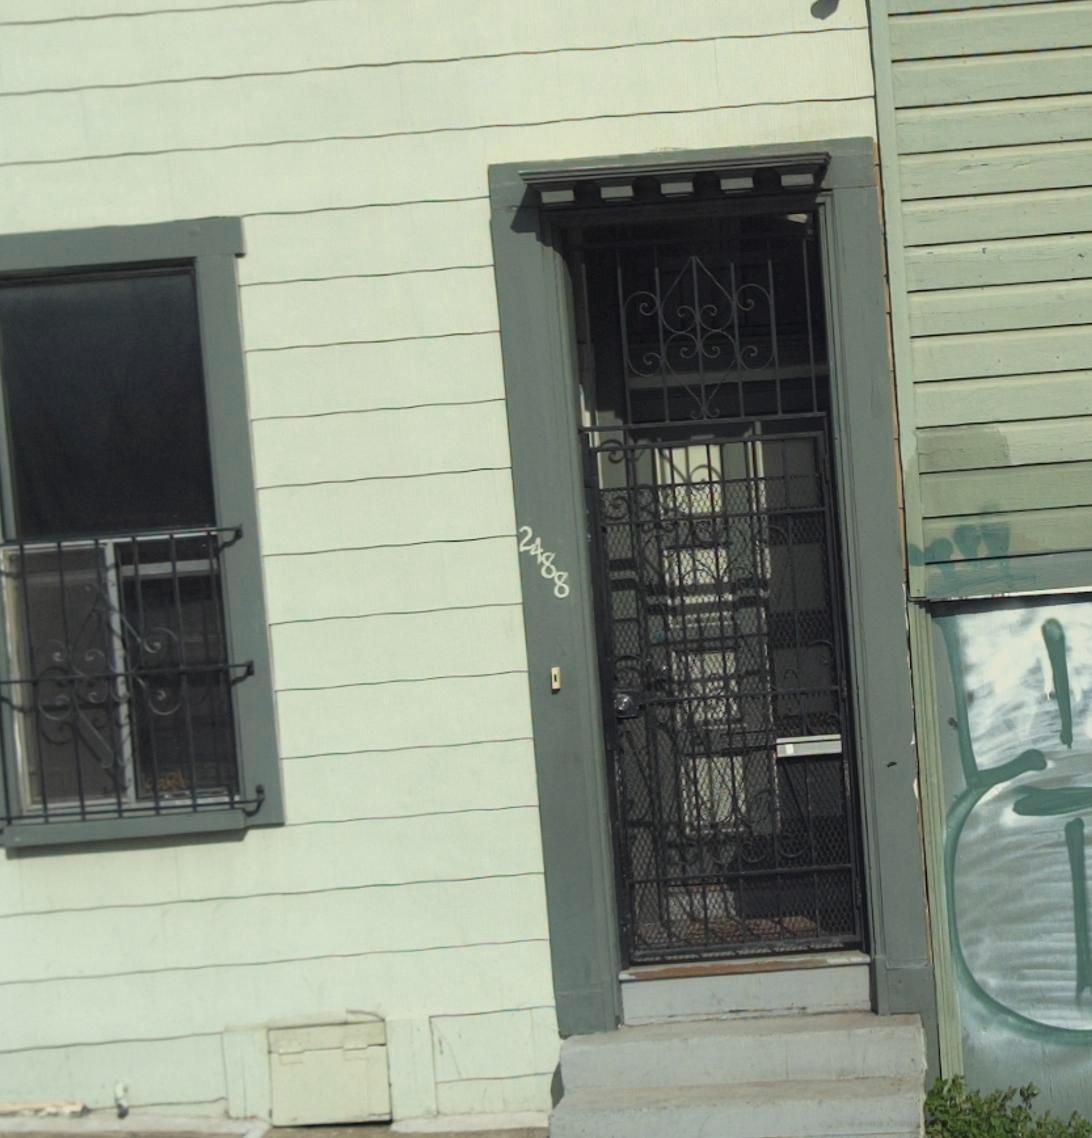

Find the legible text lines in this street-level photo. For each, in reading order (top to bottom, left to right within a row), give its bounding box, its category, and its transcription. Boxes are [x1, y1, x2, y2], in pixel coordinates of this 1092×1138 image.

[517, 523, 573, 600] StreetNumber: 2488